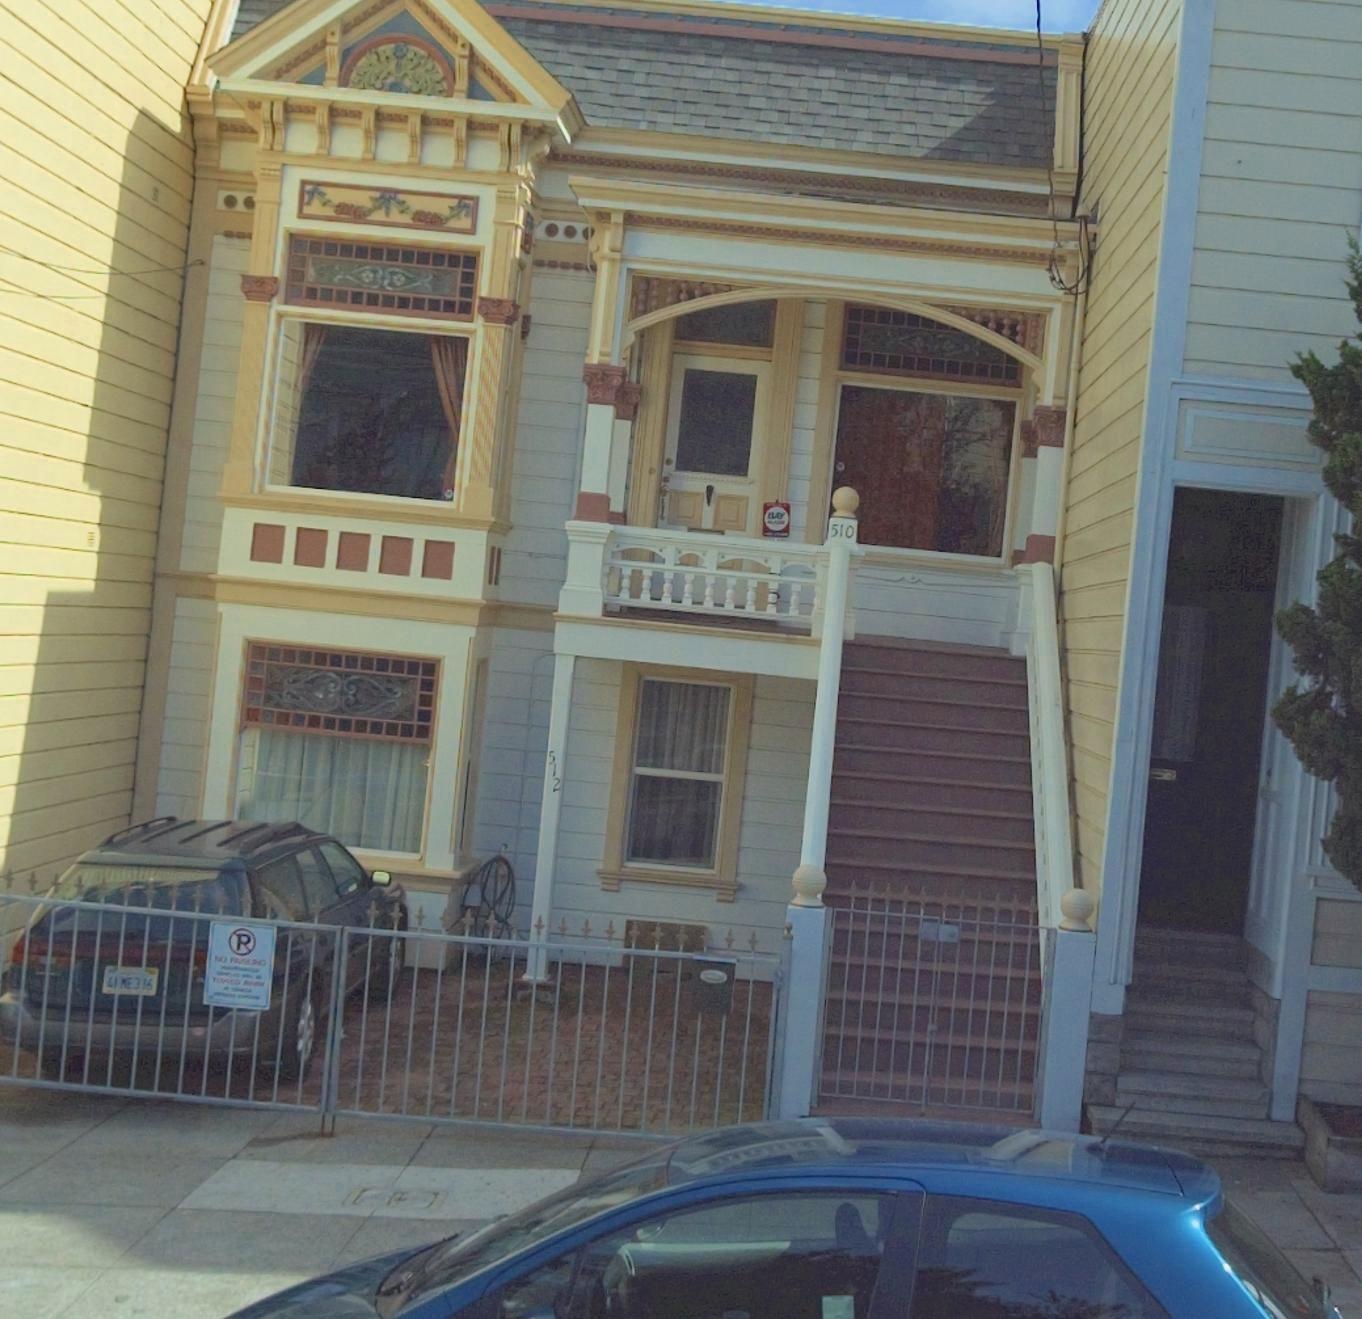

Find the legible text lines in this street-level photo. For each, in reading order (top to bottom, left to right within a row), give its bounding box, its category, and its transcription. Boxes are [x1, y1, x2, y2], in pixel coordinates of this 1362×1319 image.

[827, 521, 857, 542] StreetNumber: 510
[543, 747, 565, 796] StreetNumber: 512
[212, 953, 230, 965] None: *O
[102, 973, 156, 993] None: 4**E3*6